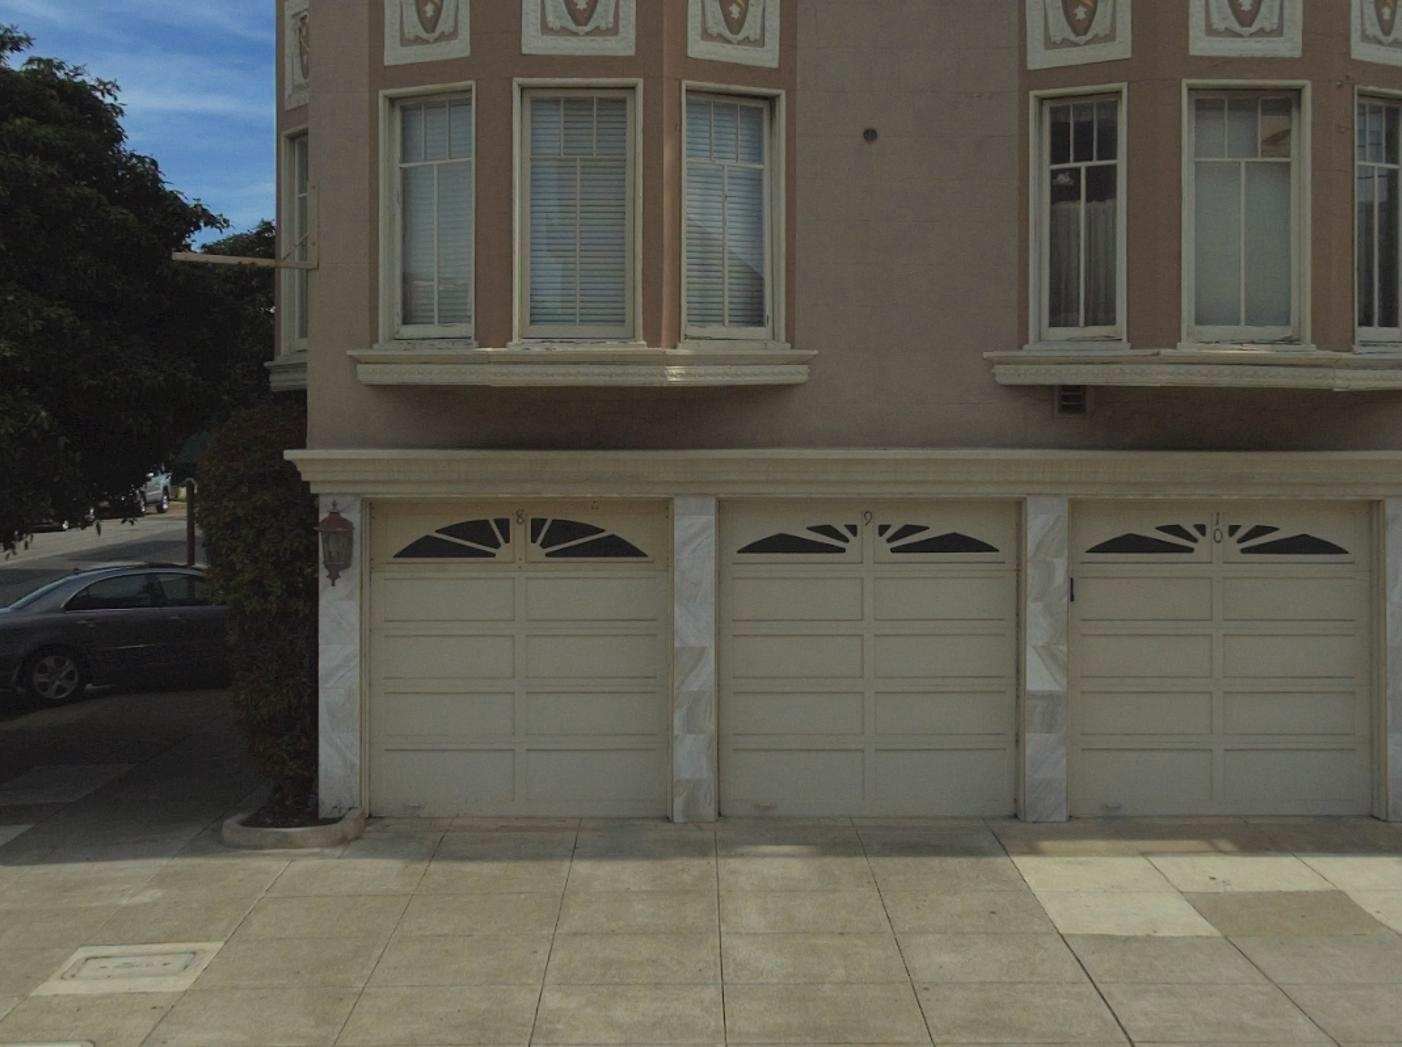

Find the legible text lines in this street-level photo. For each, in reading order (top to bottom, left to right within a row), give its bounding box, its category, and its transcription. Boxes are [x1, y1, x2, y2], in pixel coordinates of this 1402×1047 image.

[514, 507, 527, 527] StreetNumber: 8
[862, 509, 874, 528] StreetNumber: 9
[1211, 509, 1225, 546] StreetNumber: 10